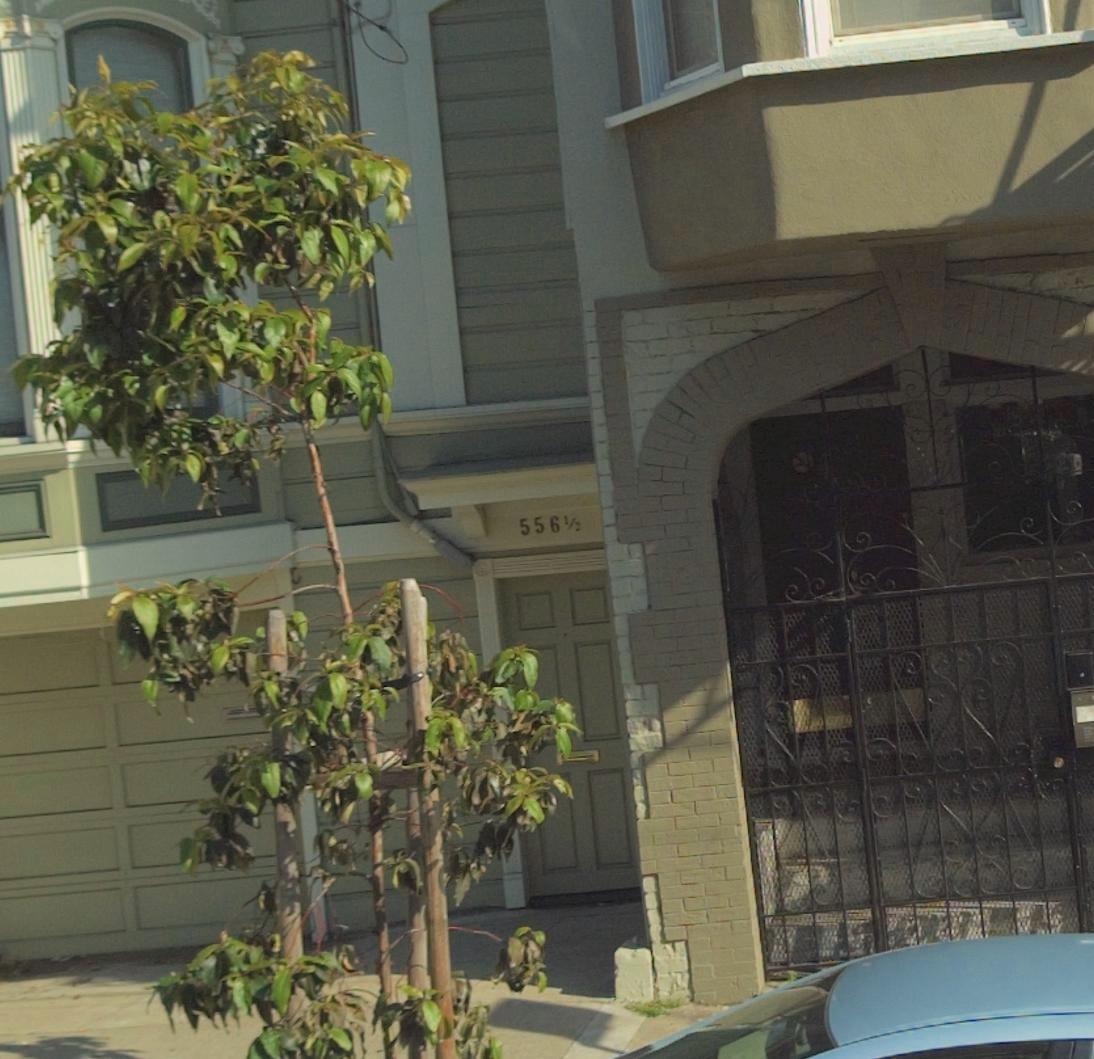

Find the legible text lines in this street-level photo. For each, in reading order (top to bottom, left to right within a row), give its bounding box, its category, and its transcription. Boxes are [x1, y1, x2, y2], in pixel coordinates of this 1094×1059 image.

[519, 515, 585, 538] StreetNumber: 556 1/2